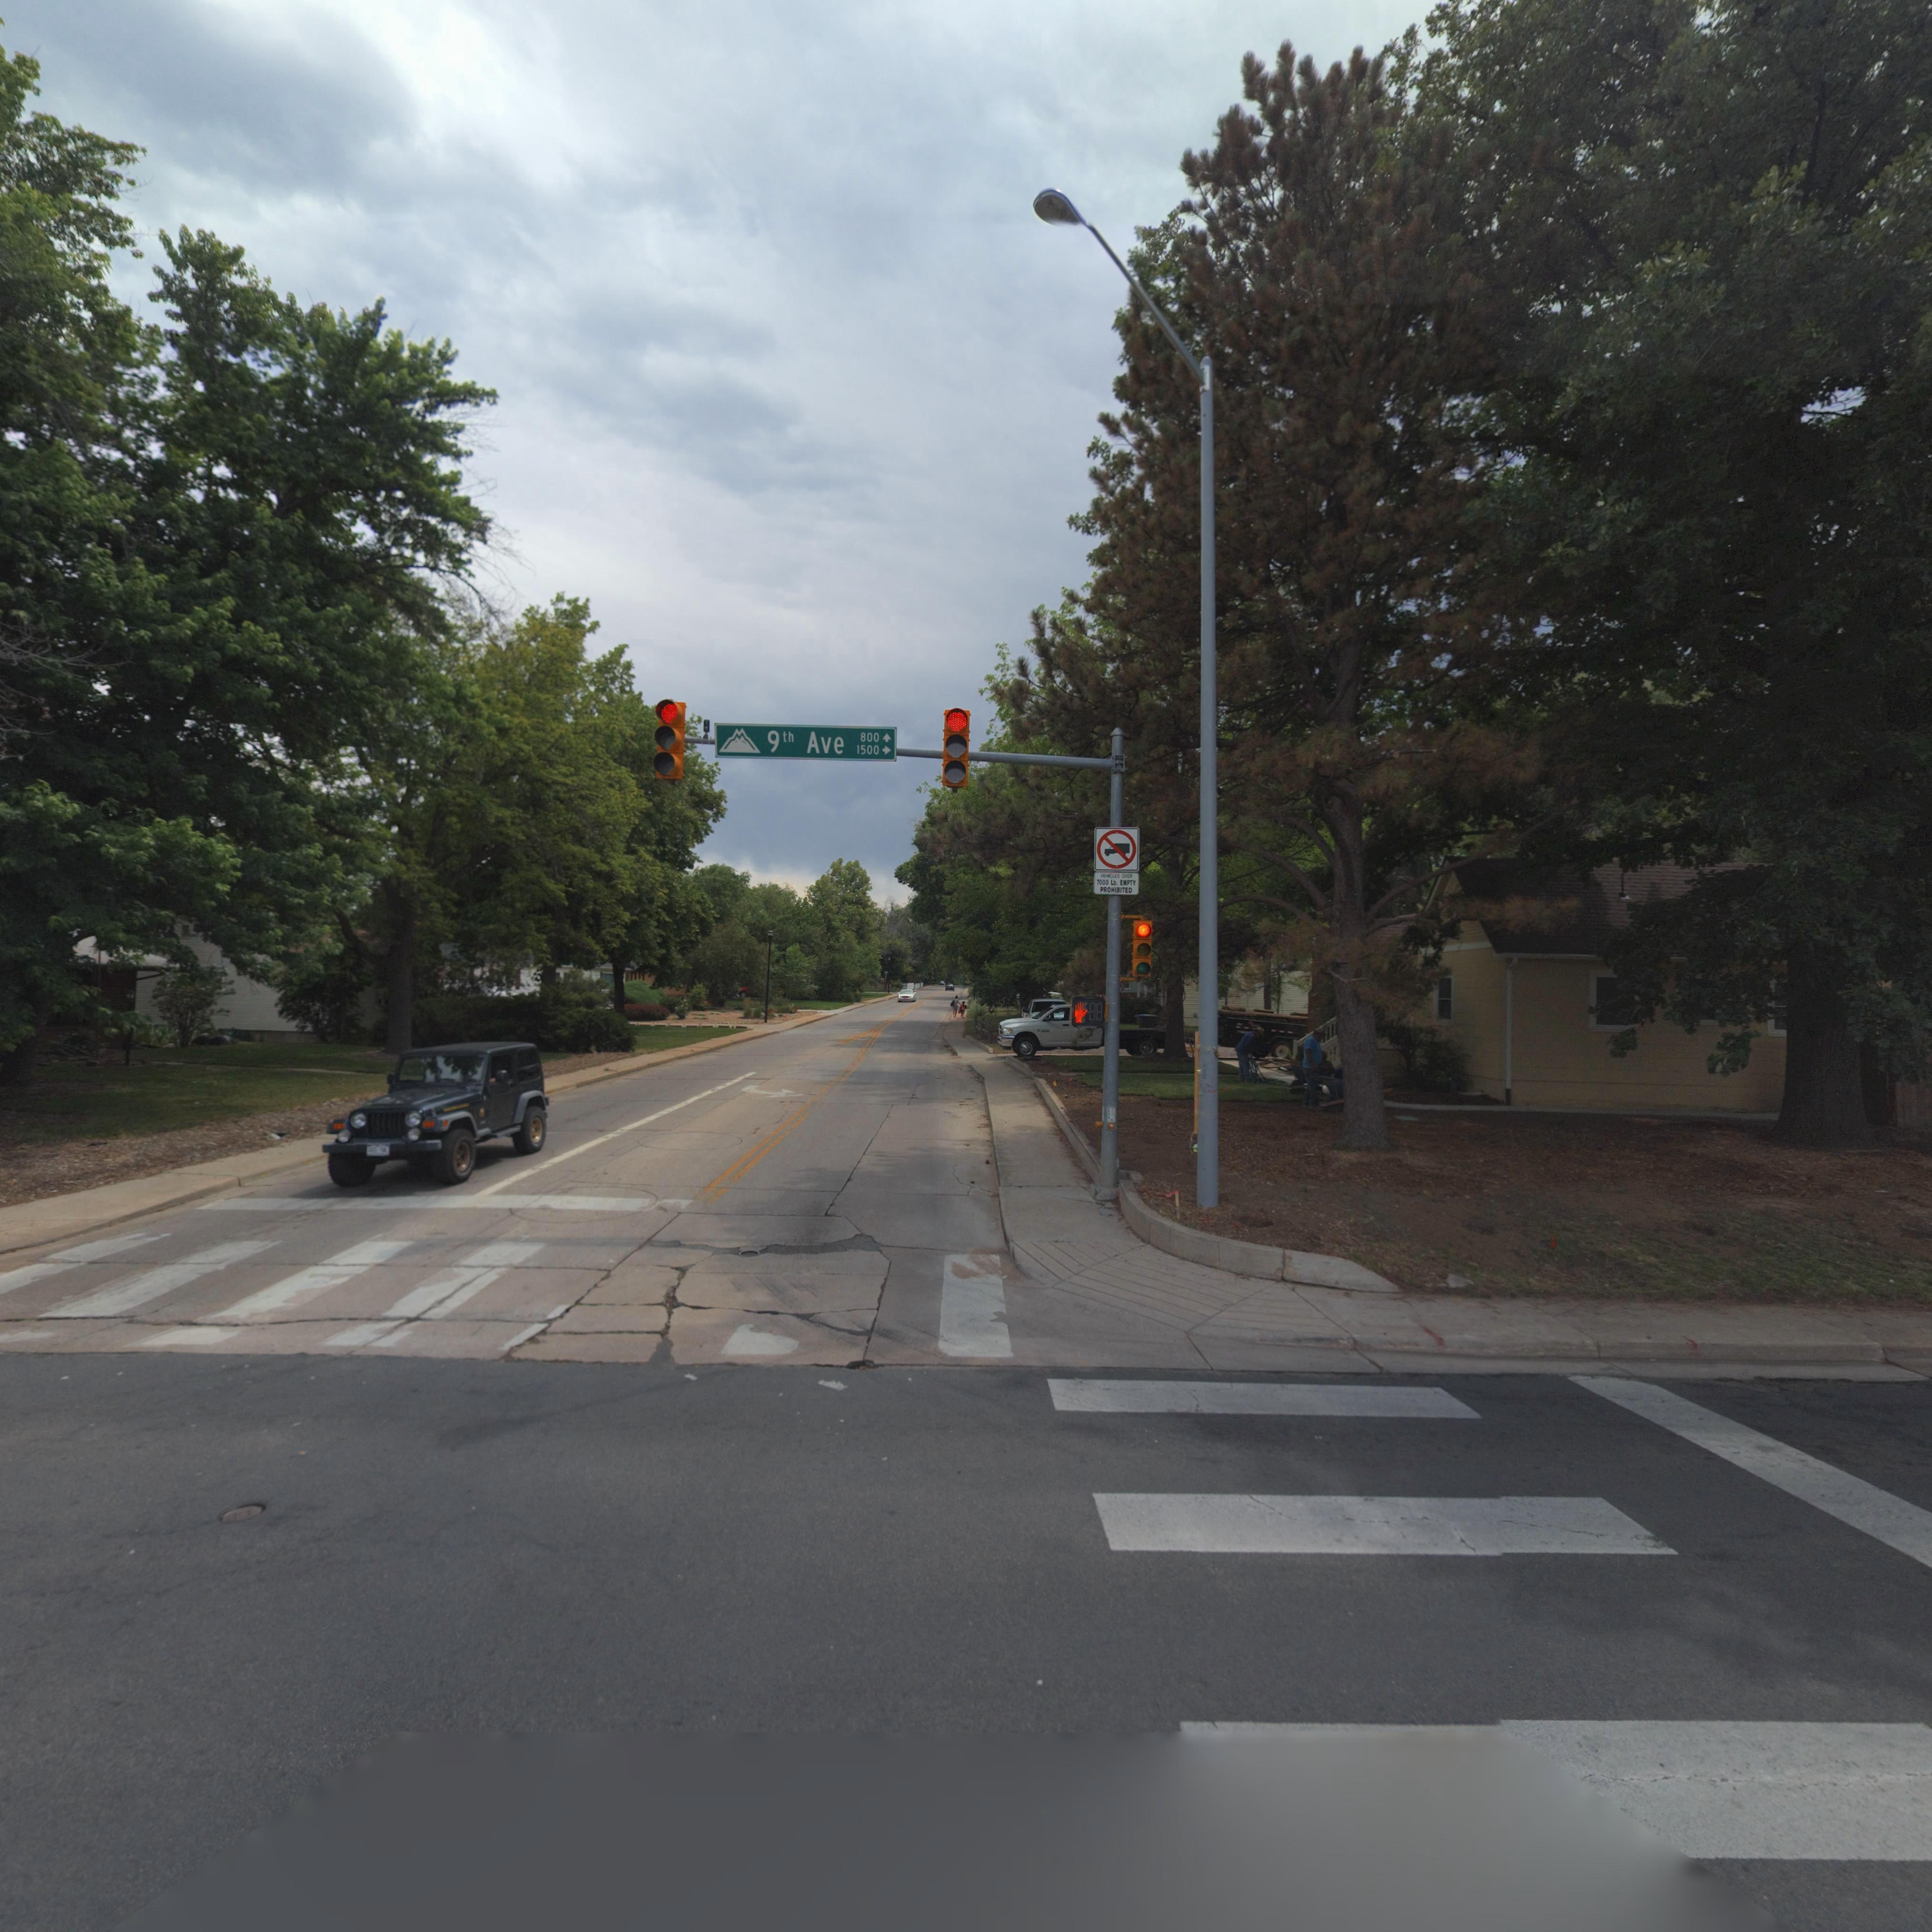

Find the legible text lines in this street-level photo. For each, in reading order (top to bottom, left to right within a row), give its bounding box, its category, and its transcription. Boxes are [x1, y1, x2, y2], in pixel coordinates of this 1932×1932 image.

[766, 729, 844, 755] StreetName: 9th Ave
[860, 732, 879, 742] StreetNumberRange: 800
[856, 744, 891, 755] StreetNumberRange: 1500 ->